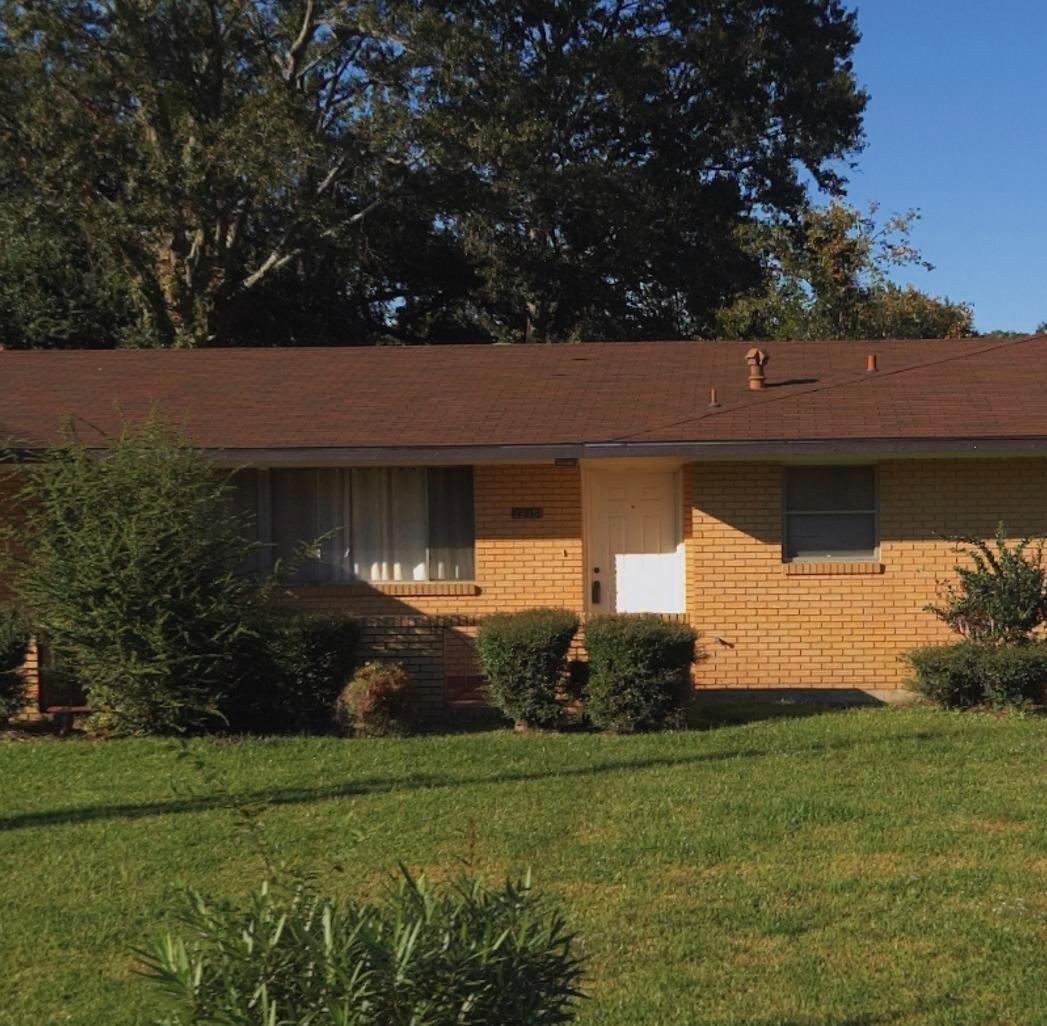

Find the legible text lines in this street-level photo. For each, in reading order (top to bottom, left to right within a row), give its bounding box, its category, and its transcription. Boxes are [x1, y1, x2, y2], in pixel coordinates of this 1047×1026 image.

[513, 508, 539, 519] StreetNumber: 2245